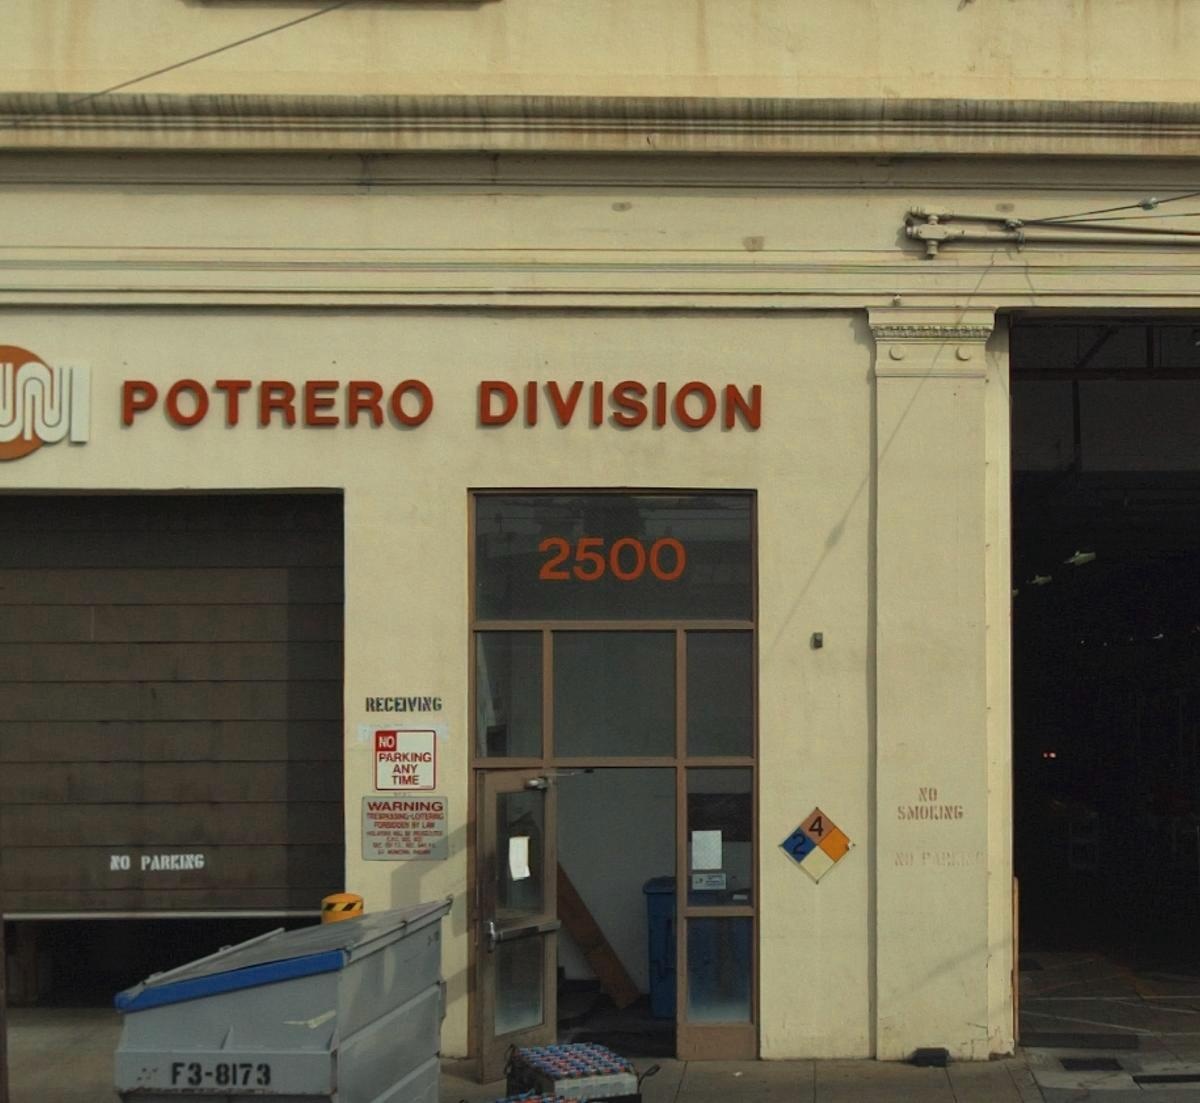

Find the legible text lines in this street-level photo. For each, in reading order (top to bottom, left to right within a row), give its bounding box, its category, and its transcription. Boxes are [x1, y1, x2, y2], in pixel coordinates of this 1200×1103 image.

[119, 376, 762, 431] BusinessName: POTRERO DIVISION
[538, 535, 688, 583] StreetNumber: 2500
[364, 693, 442, 712] None: RECEIVING
[376, 734, 394, 748] None: NO
[378, 751, 431, 763] None: PARKING
[391, 762, 418, 774] None: ANY
[389, 773, 419, 785] None: TIME
[917, 784, 937, 802] None: NO
[365, 799, 443, 811] None: WARNING
[895, 803, 963, 820] None: SMOKING
[807, 813, 824, 836] None: 4
[790, 831, 806, 855] None: 2
[108, 853, 205, 872] None: NO PARKING
[893, 849, 983, 866] None: NO PARKIN*
[169, 1060, 270, 1087] None: F3-8173